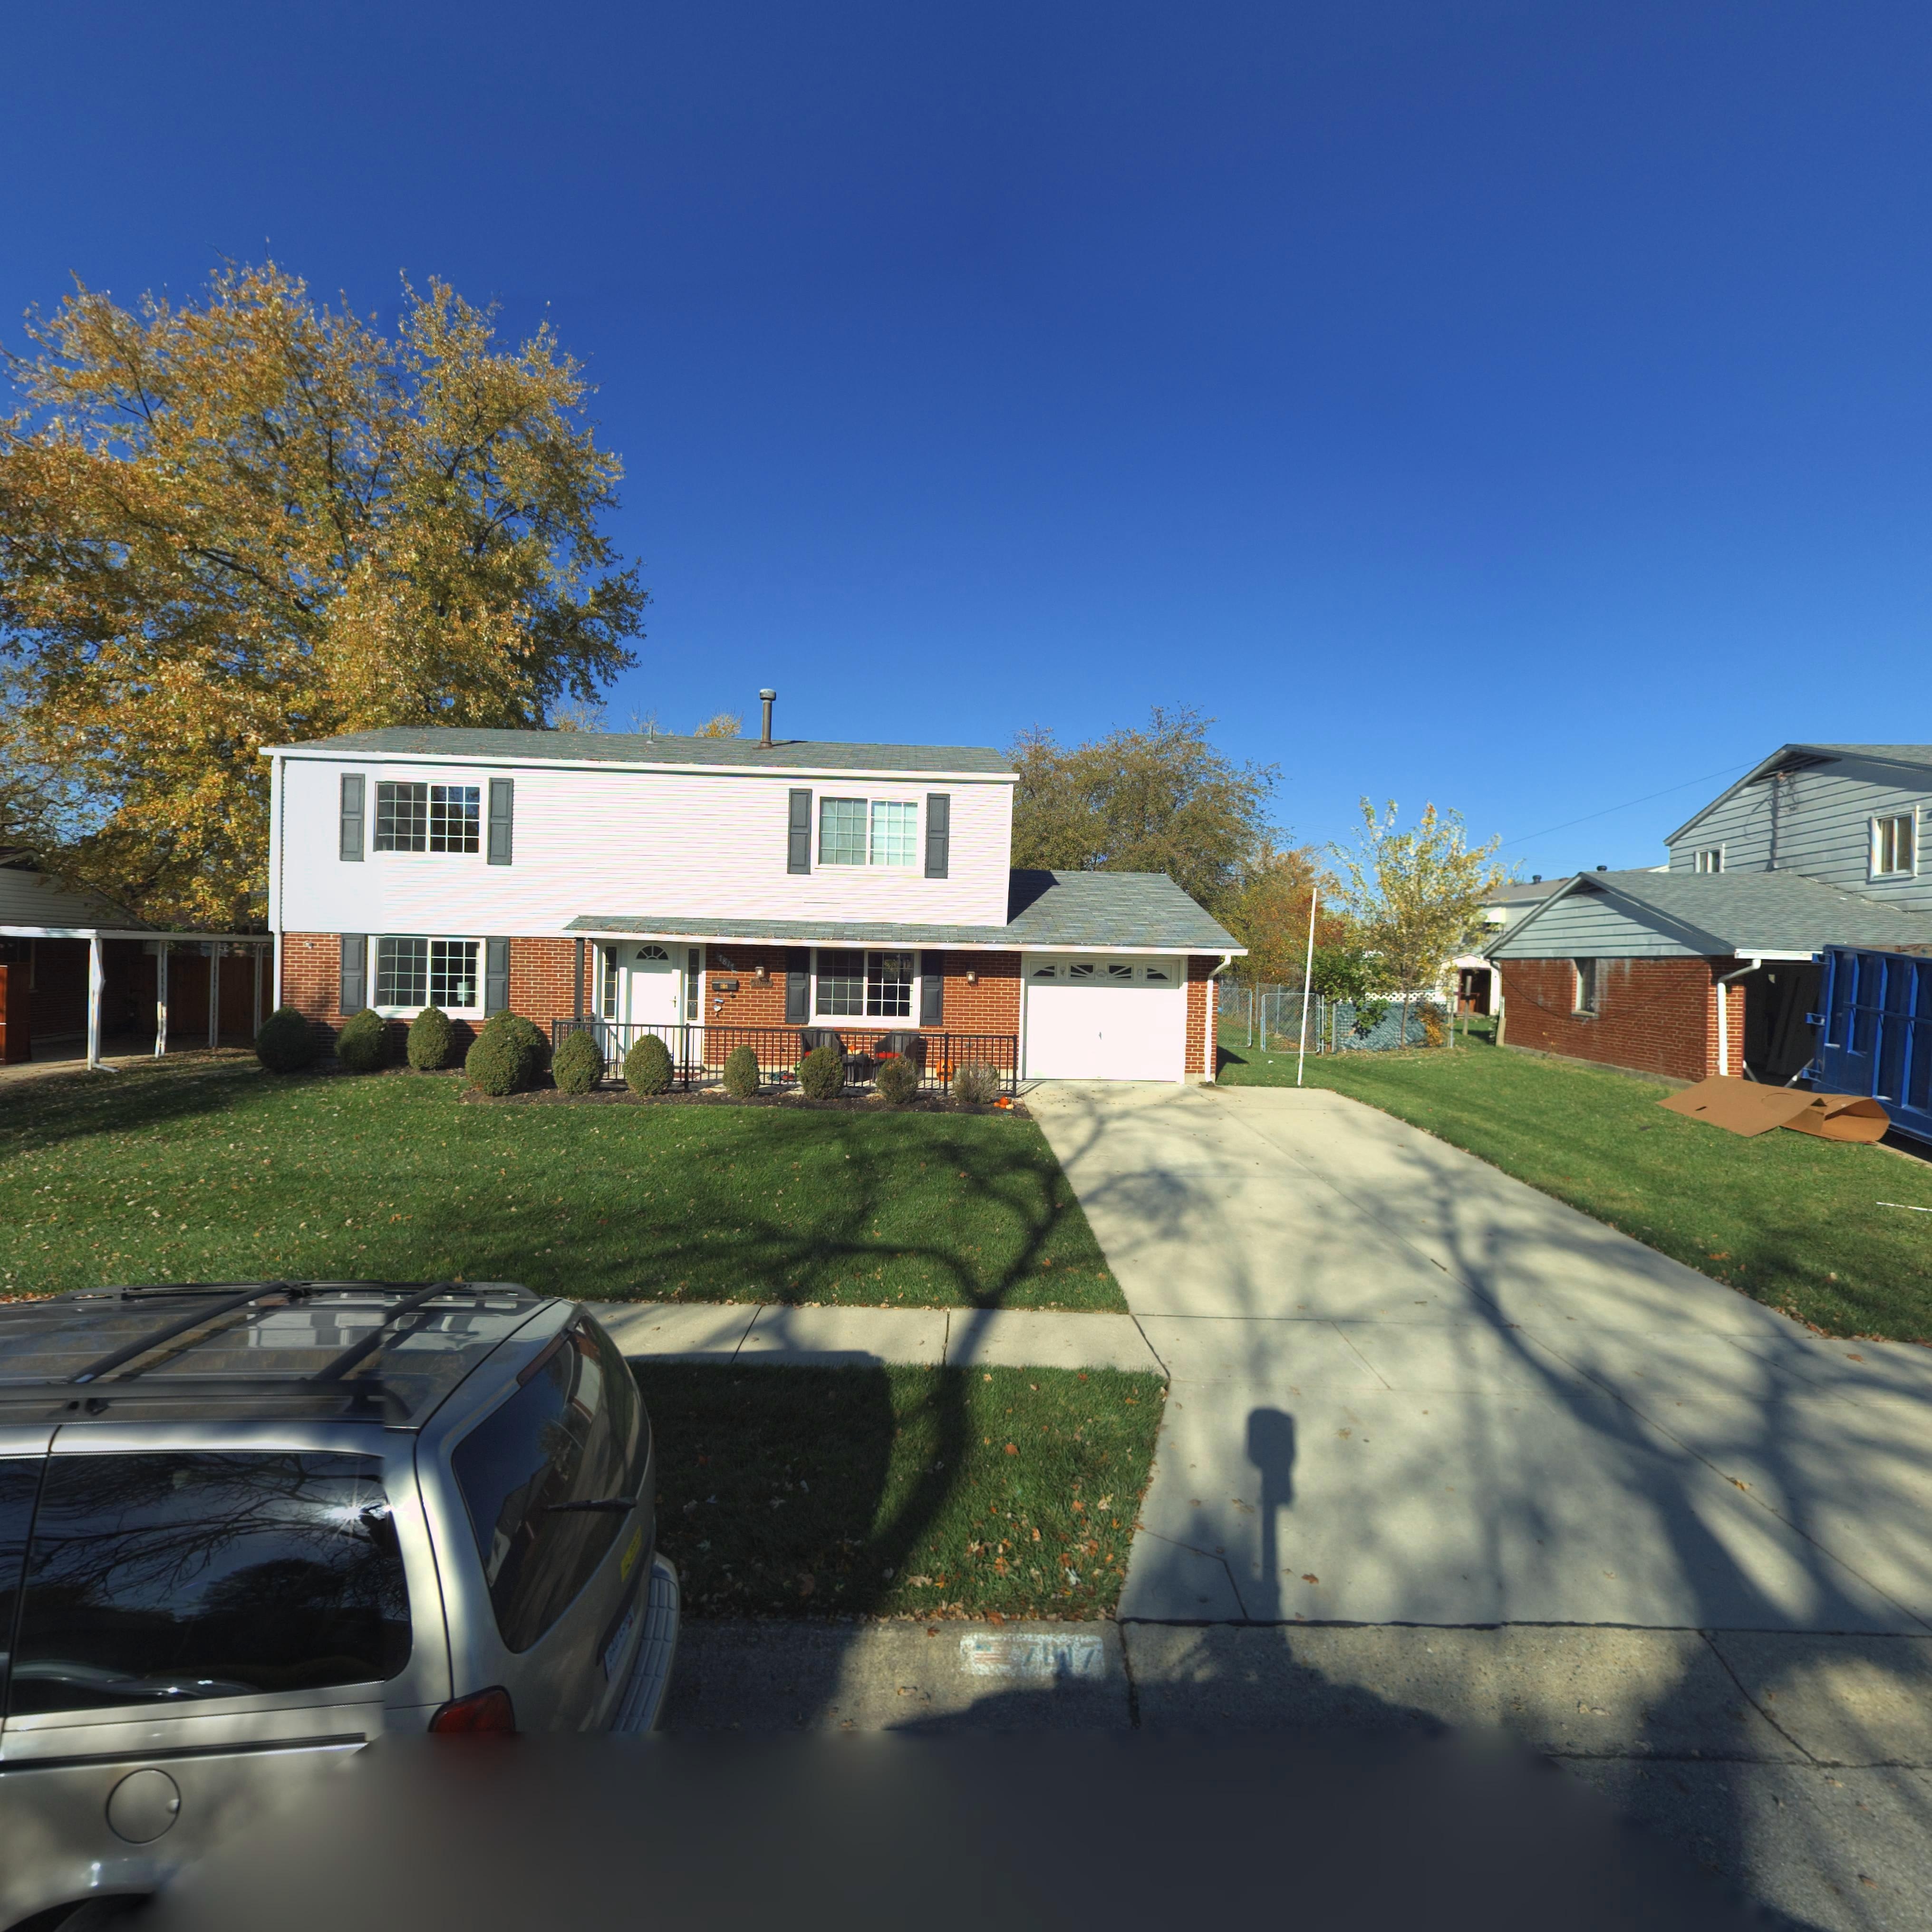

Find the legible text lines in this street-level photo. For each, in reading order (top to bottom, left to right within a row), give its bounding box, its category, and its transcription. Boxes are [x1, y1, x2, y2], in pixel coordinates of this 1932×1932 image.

[718, 954, 735, 972] StreetNumber: 7817
[1019, 1639, 1101, 1674] StreetNumber: 7017